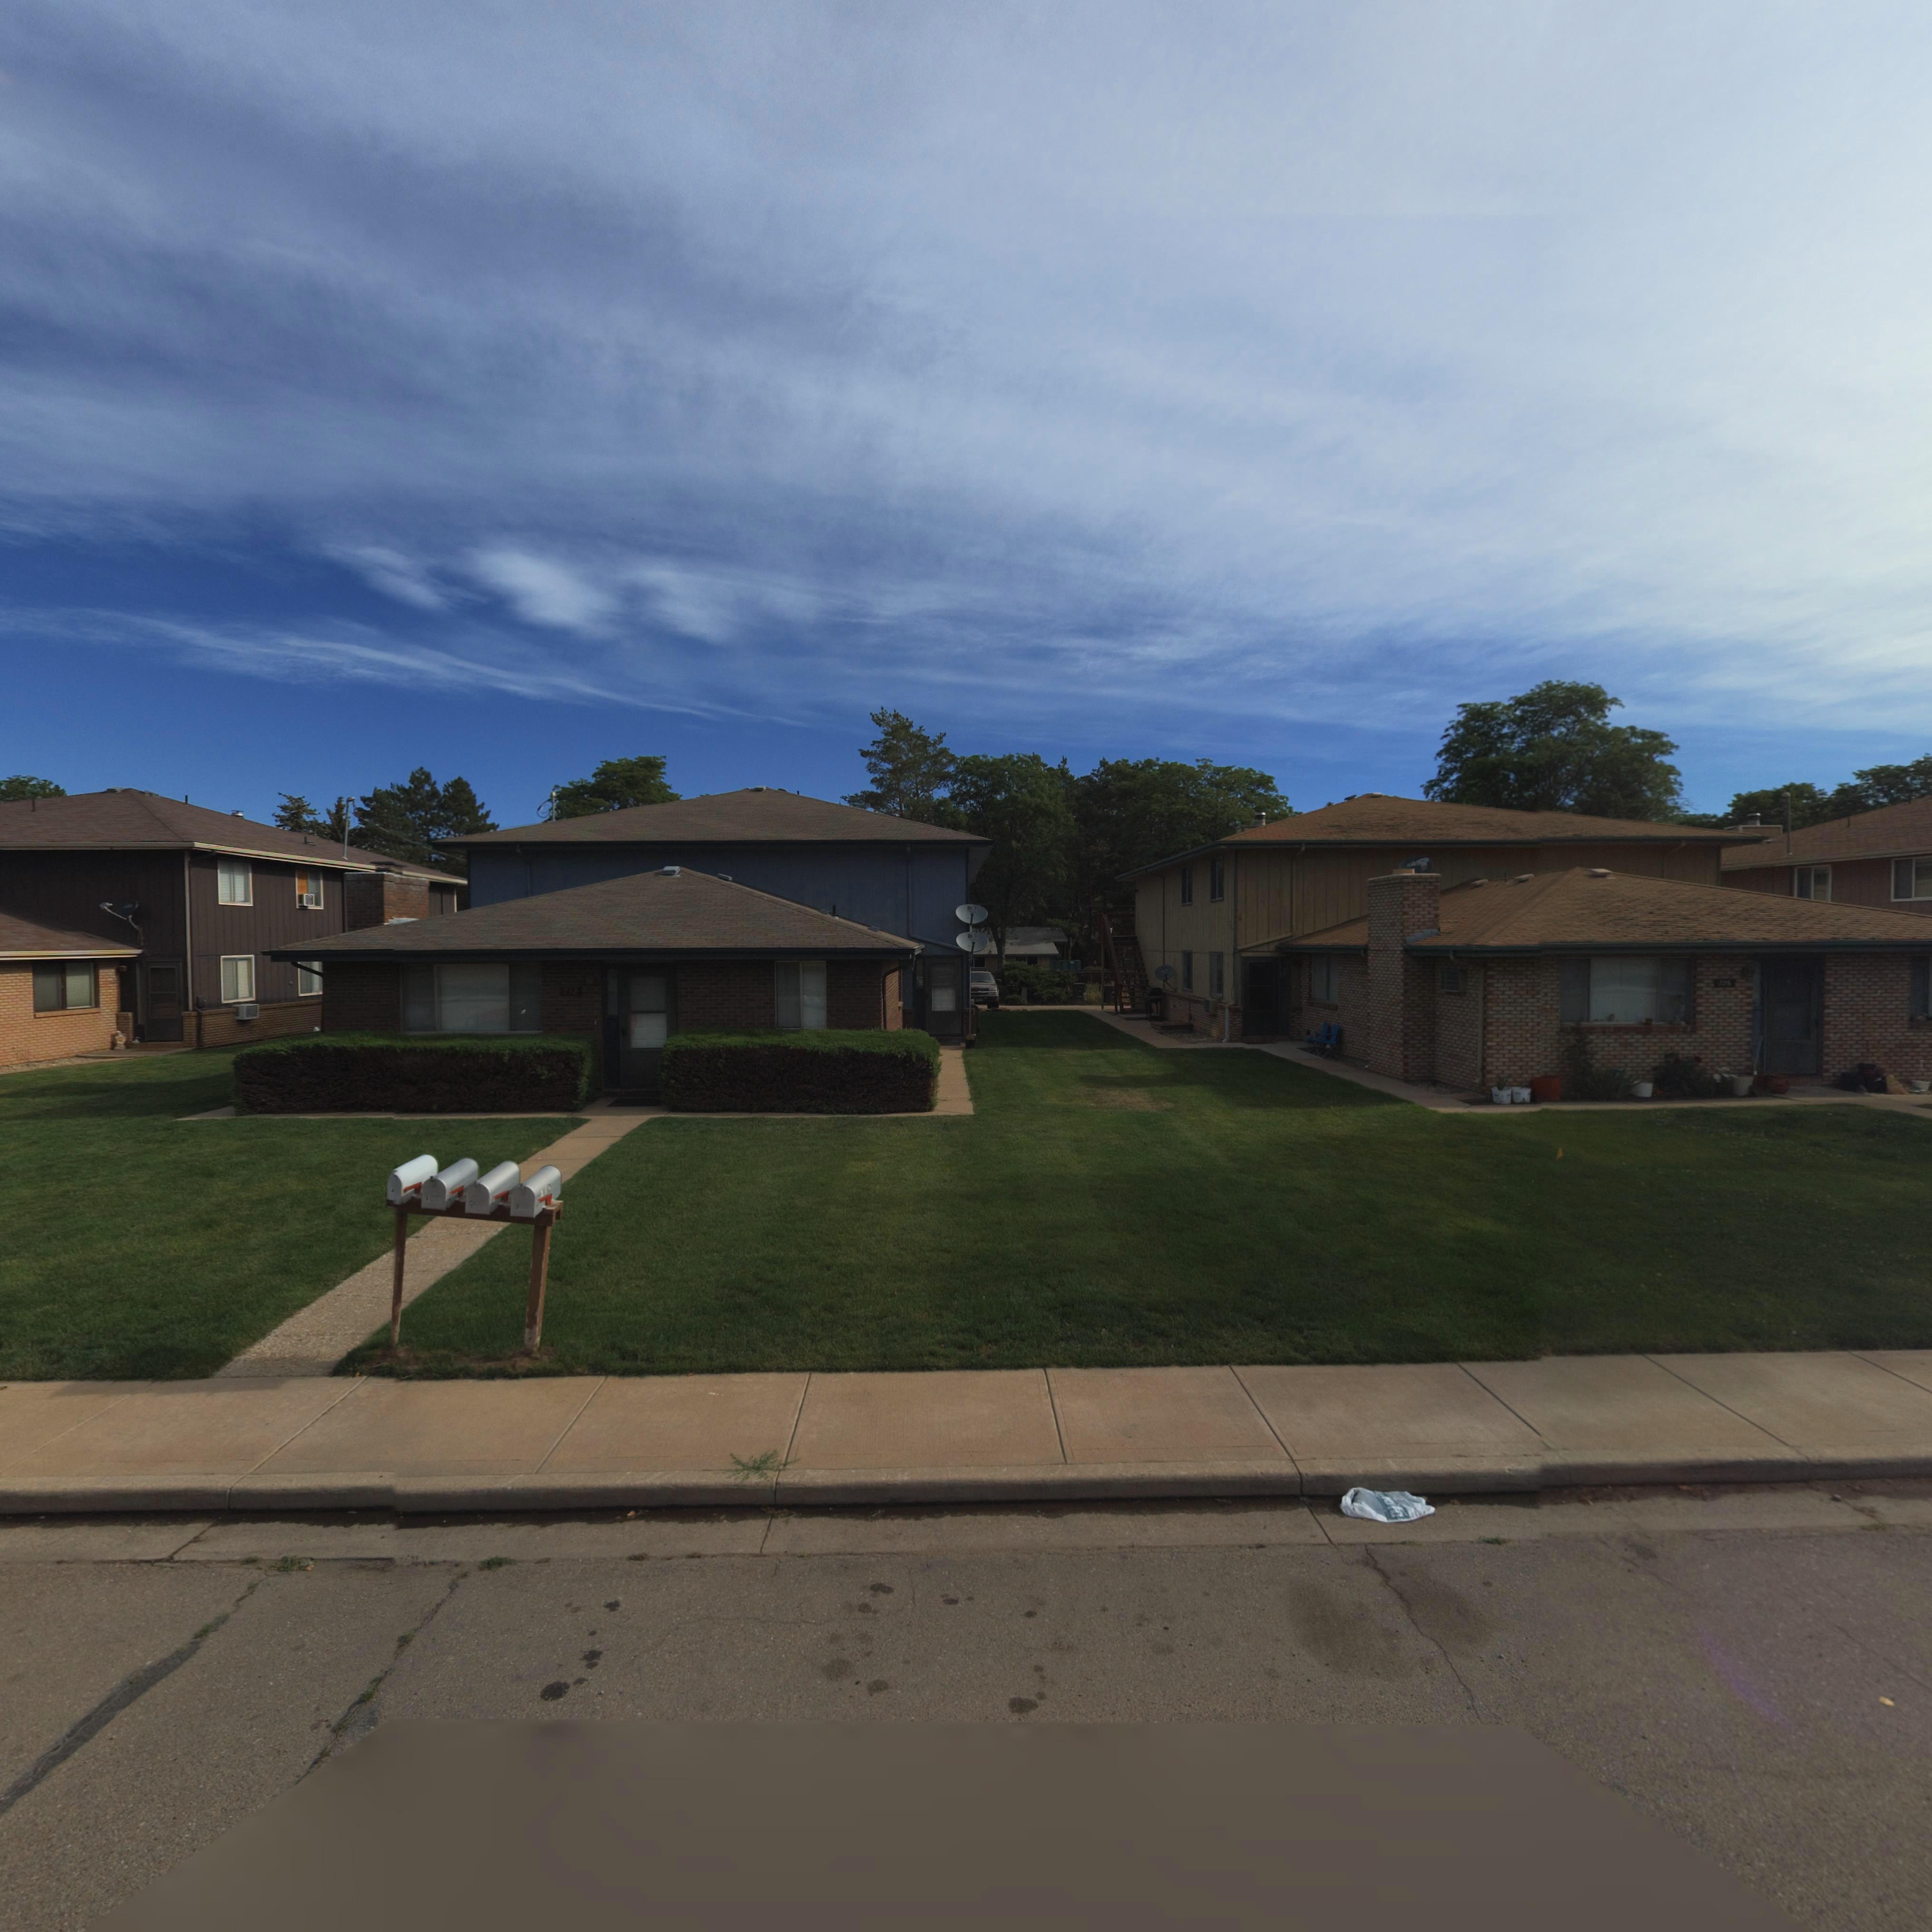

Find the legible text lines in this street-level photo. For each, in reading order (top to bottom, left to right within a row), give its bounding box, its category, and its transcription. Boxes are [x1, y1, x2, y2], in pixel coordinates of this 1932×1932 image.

[1717, 980, 1731, 986] StreetNumber: 726
[562, 987, 578, 996] StreetNumber: 732